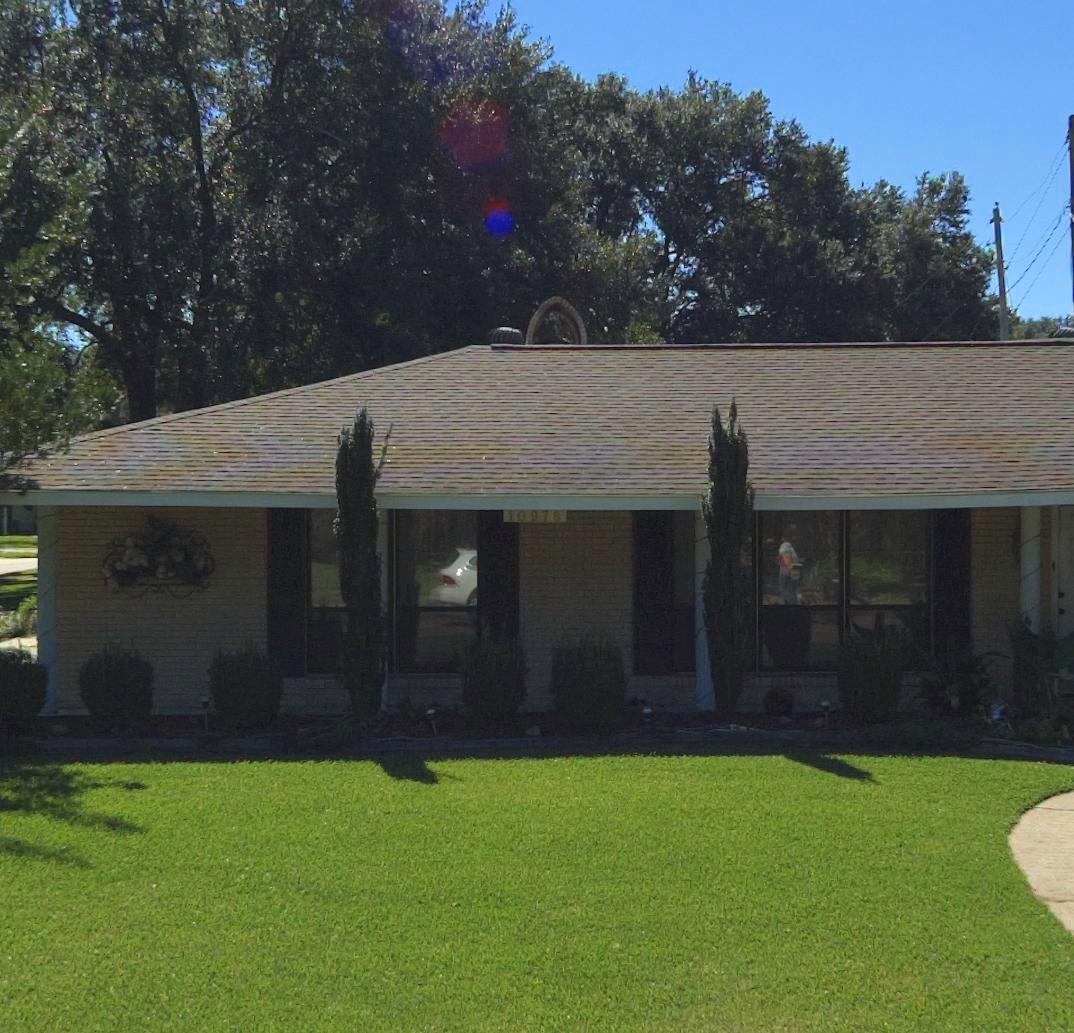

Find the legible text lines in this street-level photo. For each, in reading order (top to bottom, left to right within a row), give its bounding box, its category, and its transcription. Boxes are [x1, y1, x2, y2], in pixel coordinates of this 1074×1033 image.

[507, 508, 563, 524] StreetNumber: 10978